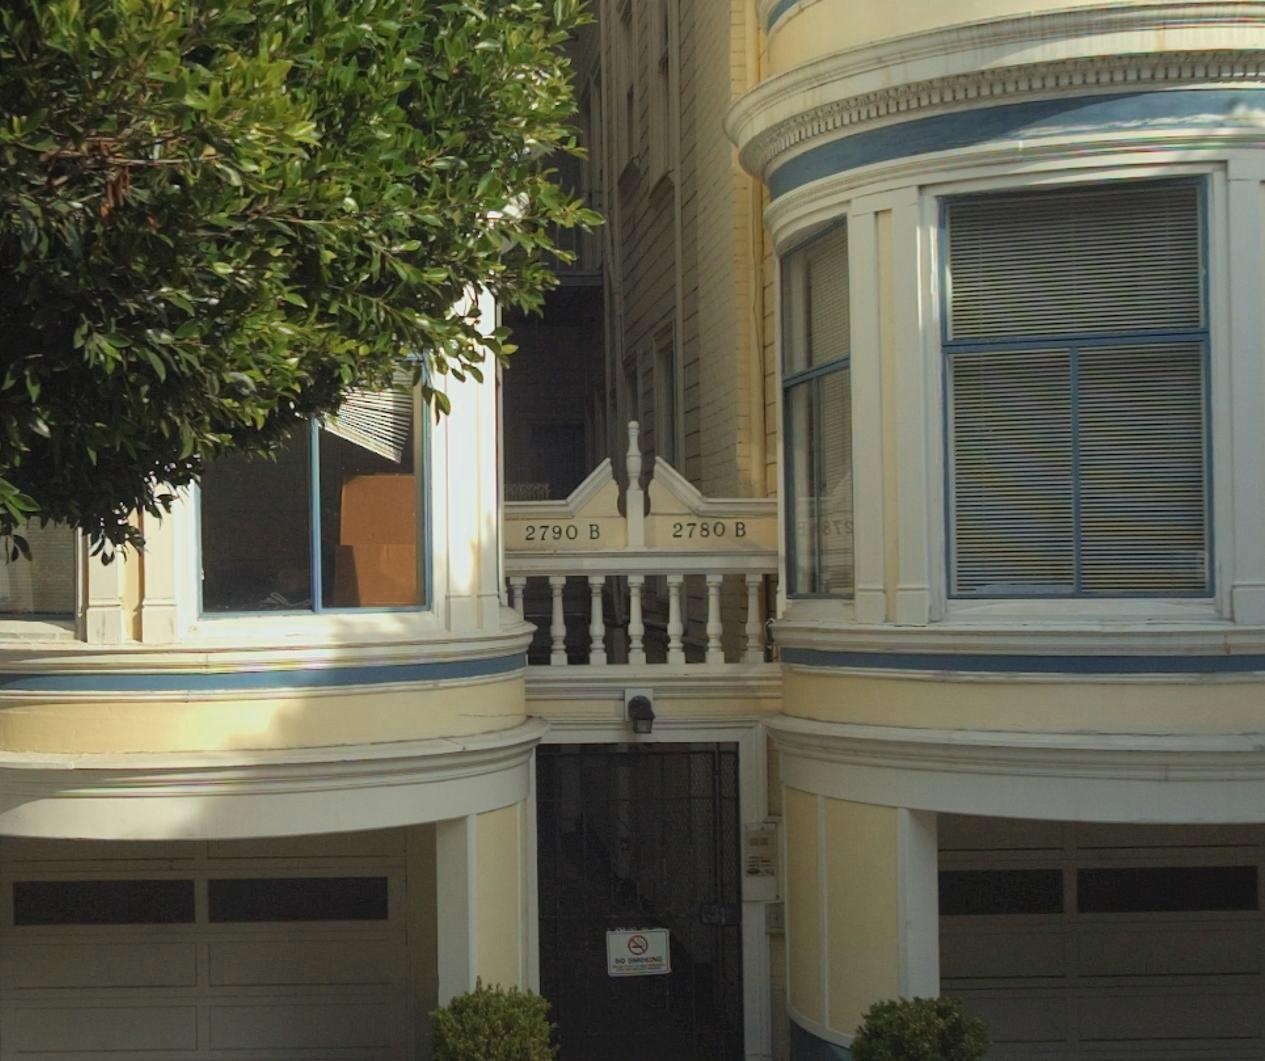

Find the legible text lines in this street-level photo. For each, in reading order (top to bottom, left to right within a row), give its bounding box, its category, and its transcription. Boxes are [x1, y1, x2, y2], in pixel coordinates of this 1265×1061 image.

[523, 522, 580, 543] StreetNumber: 2790B
[587, 522, 602, 541] StreetNumber: B
[670, 519, 727, 541] StreetNumber: 2780B
[732, 519, 748, 540] StreetNumber: B